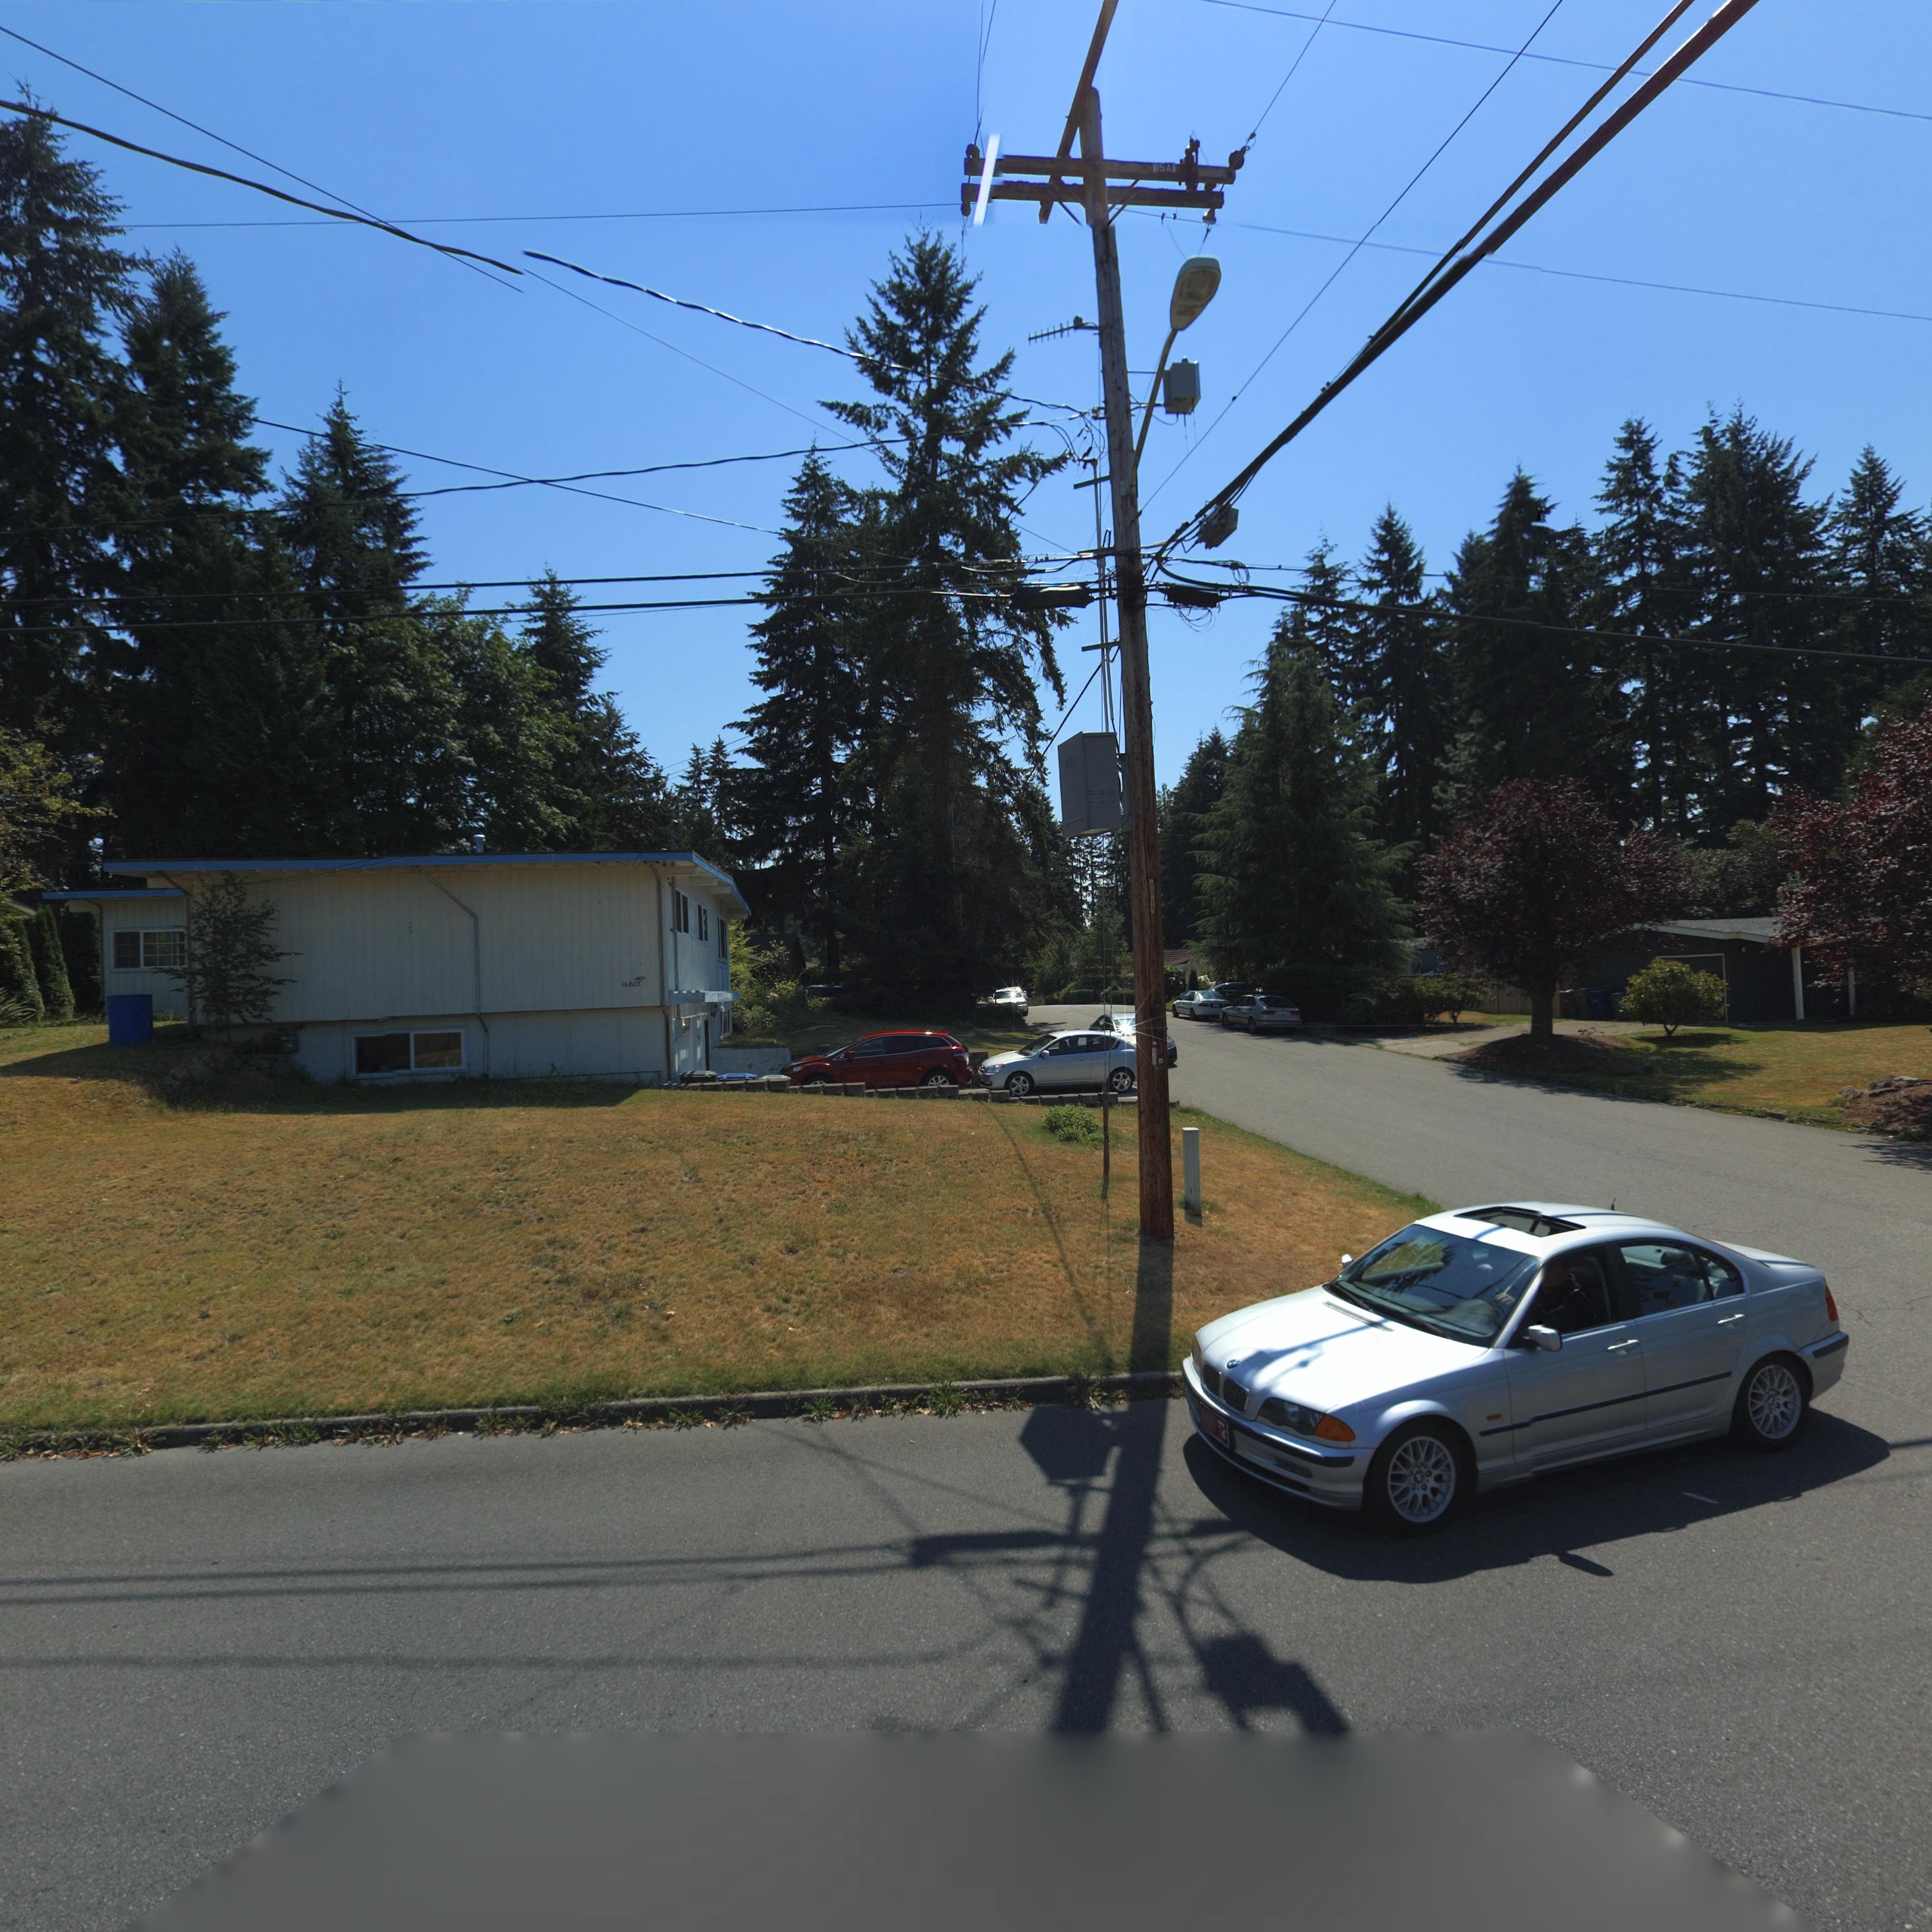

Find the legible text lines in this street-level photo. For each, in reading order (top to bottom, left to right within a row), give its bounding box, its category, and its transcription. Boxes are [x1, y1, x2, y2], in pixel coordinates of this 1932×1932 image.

[621, 980, 640, 987] StreetNumber: 16803